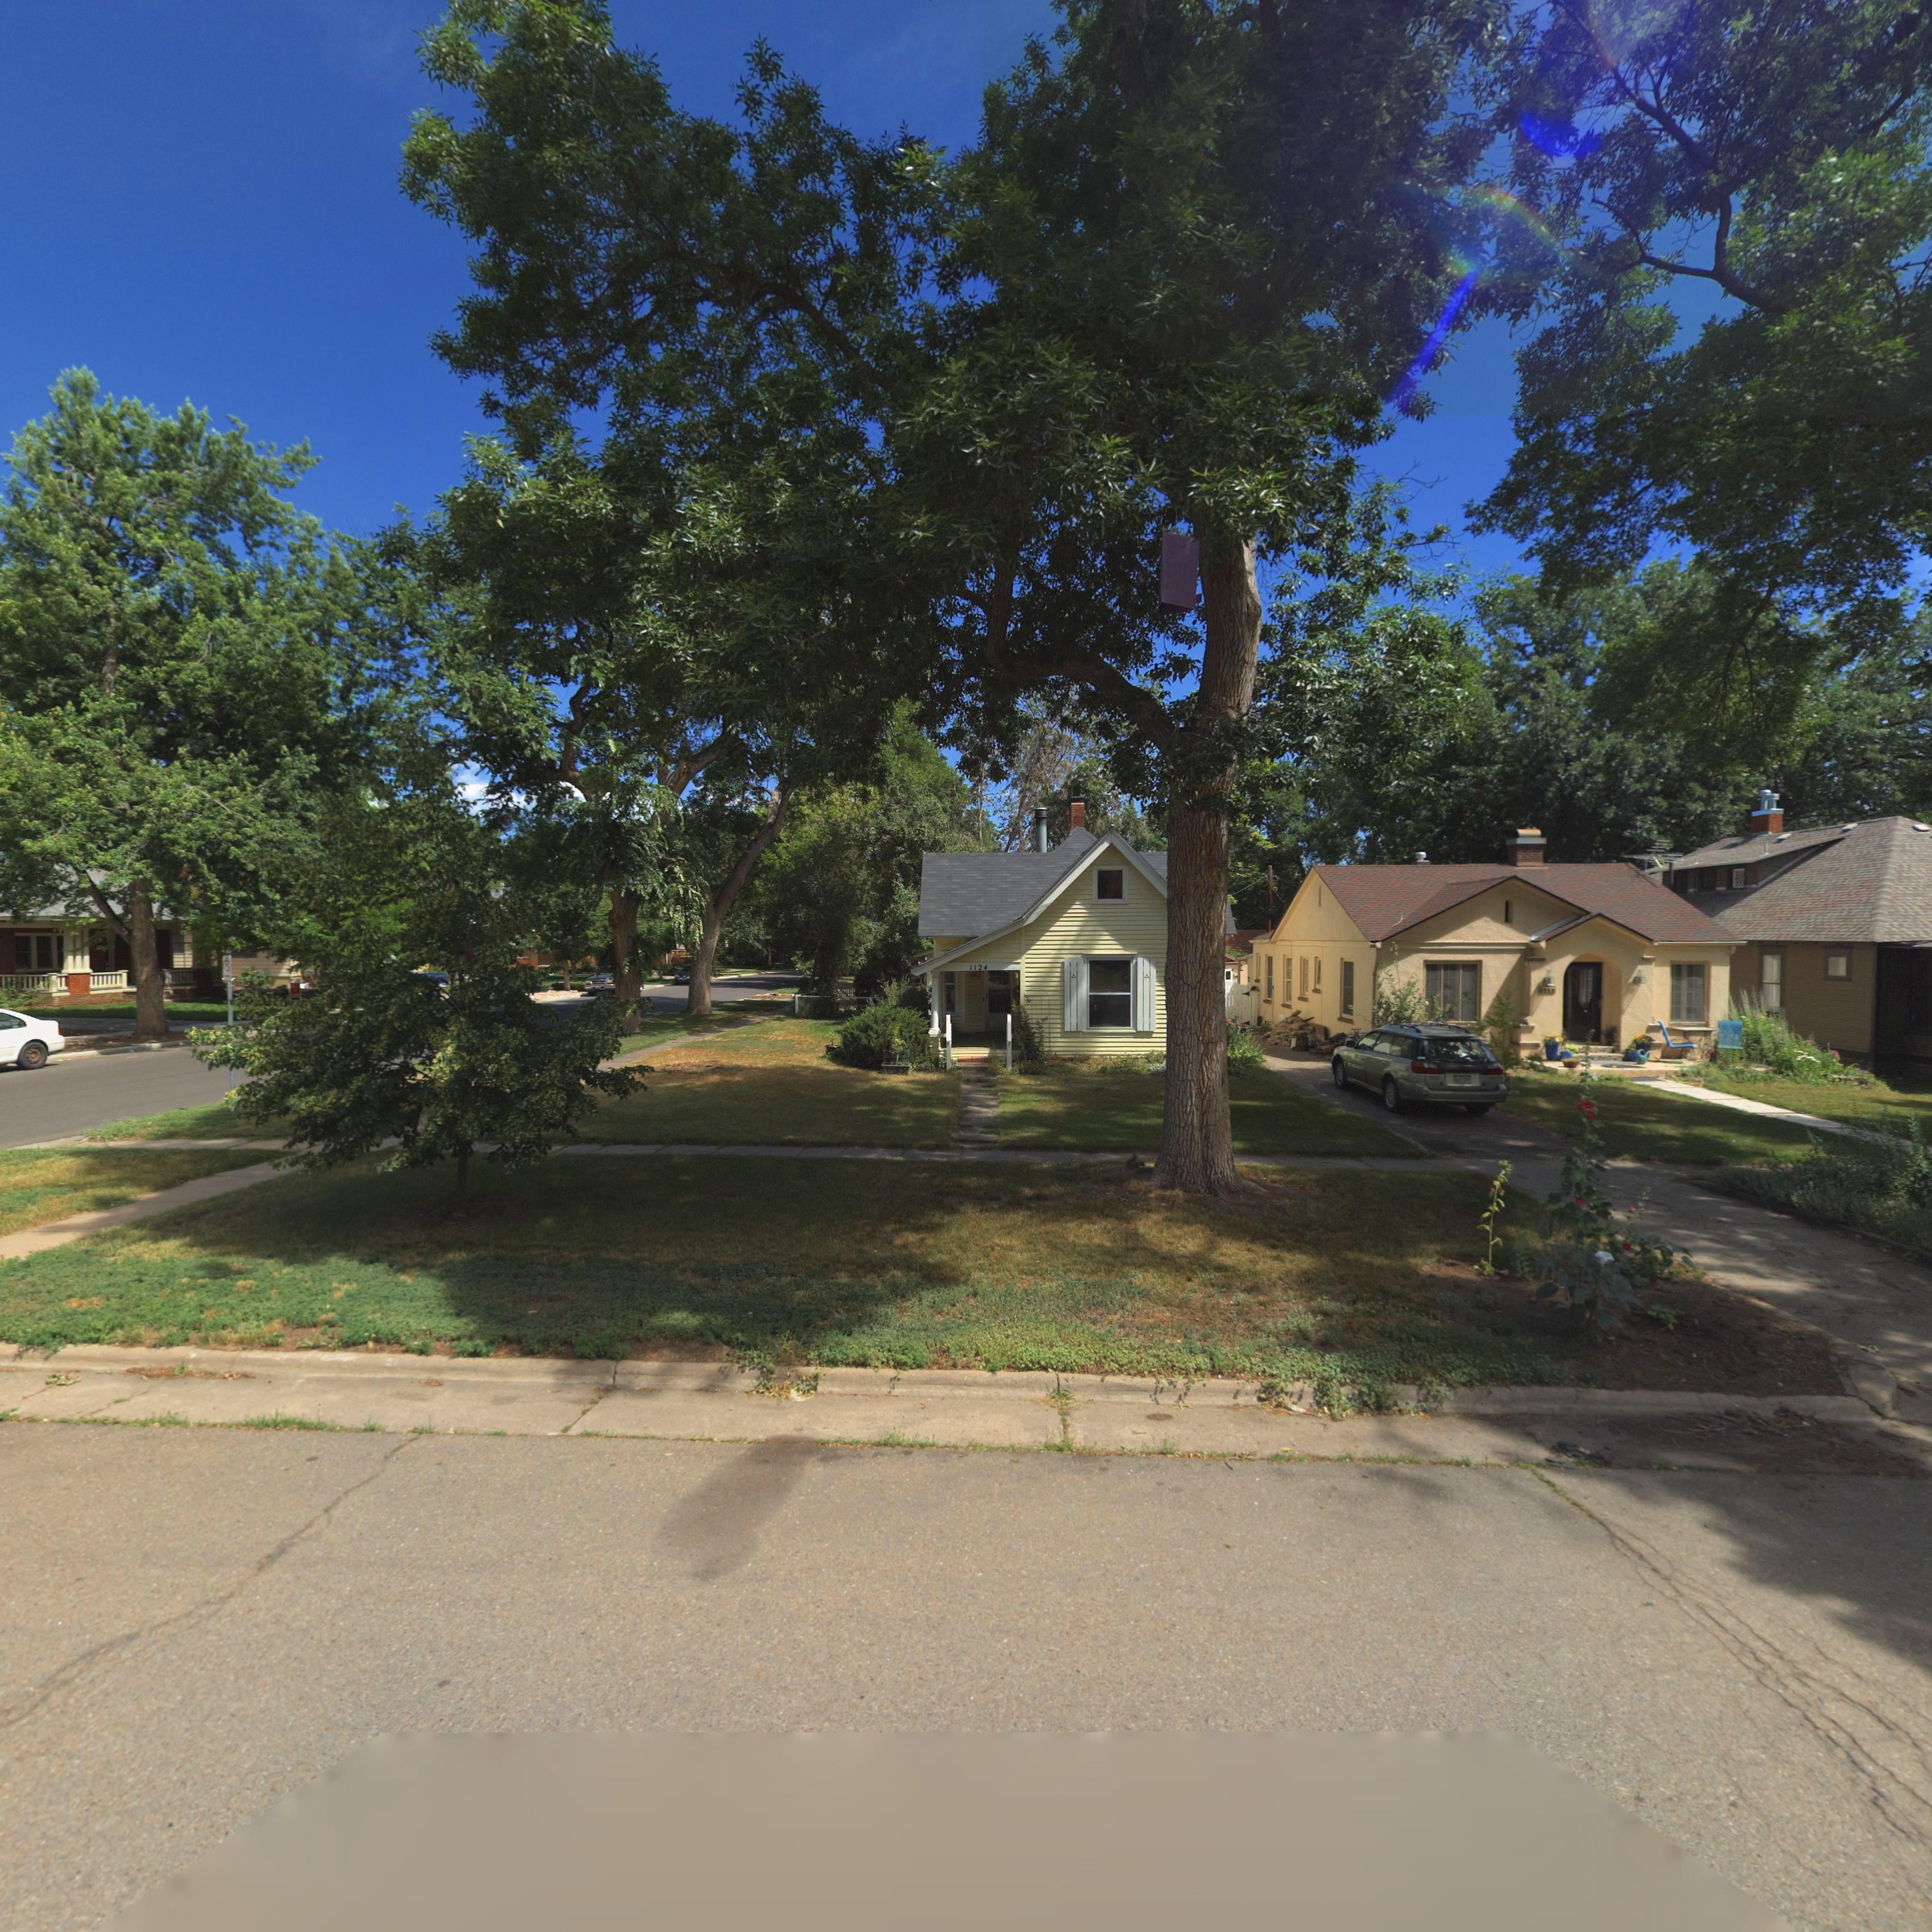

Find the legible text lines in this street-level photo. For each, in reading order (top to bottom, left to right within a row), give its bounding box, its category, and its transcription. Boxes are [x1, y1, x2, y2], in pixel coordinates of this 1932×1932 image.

[970, 965, 987, 970] StreetNumber: 1124